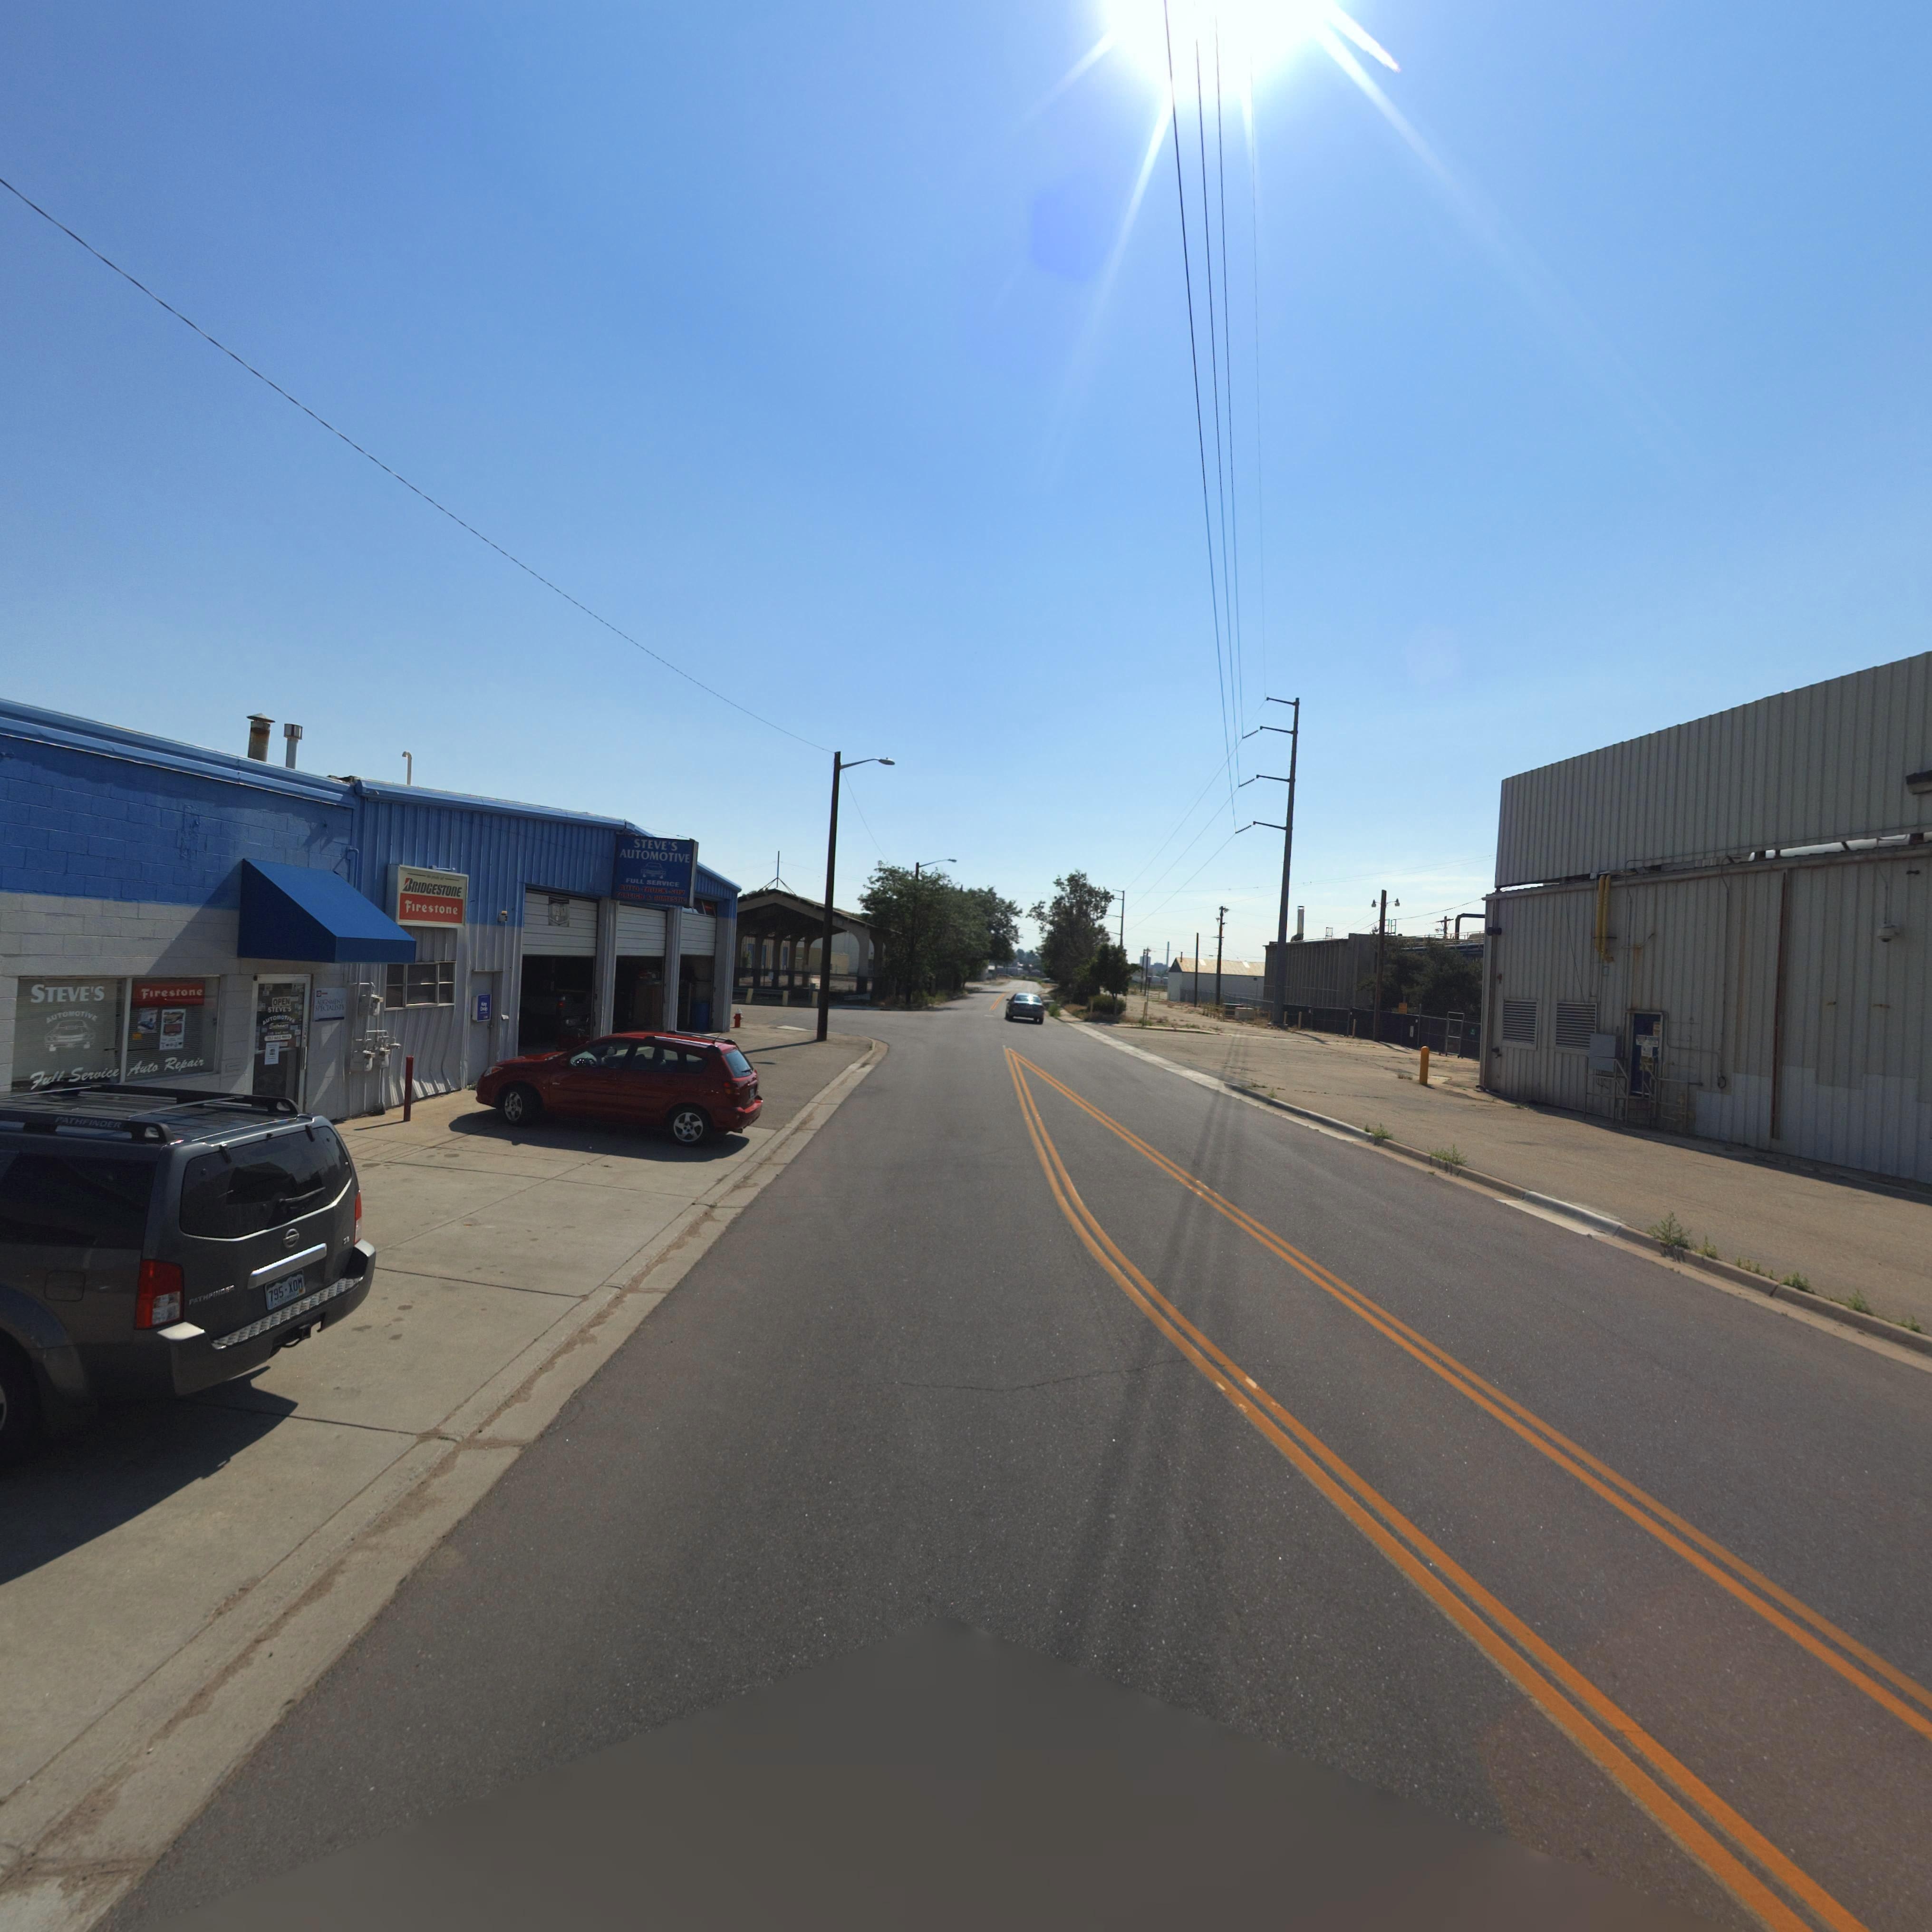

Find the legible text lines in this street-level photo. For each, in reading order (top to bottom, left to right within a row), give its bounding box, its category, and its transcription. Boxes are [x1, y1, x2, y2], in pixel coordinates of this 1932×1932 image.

[634, 838, 678, 851] BusinessName: STEVE'S
[618, 847, 690, 863] BusinessName: AUTOMOTIVE
[29, 982, 106, 1004] BusinessName: STEVE'S
[267, 1005, 291, 1013] BusinessName: STEVE'S
[46, 1010, 98, 1024] BusinessName: AUTOMOTIVE
[262, 1014, 296, 1026] BusinessName: AUTOMOTIVE